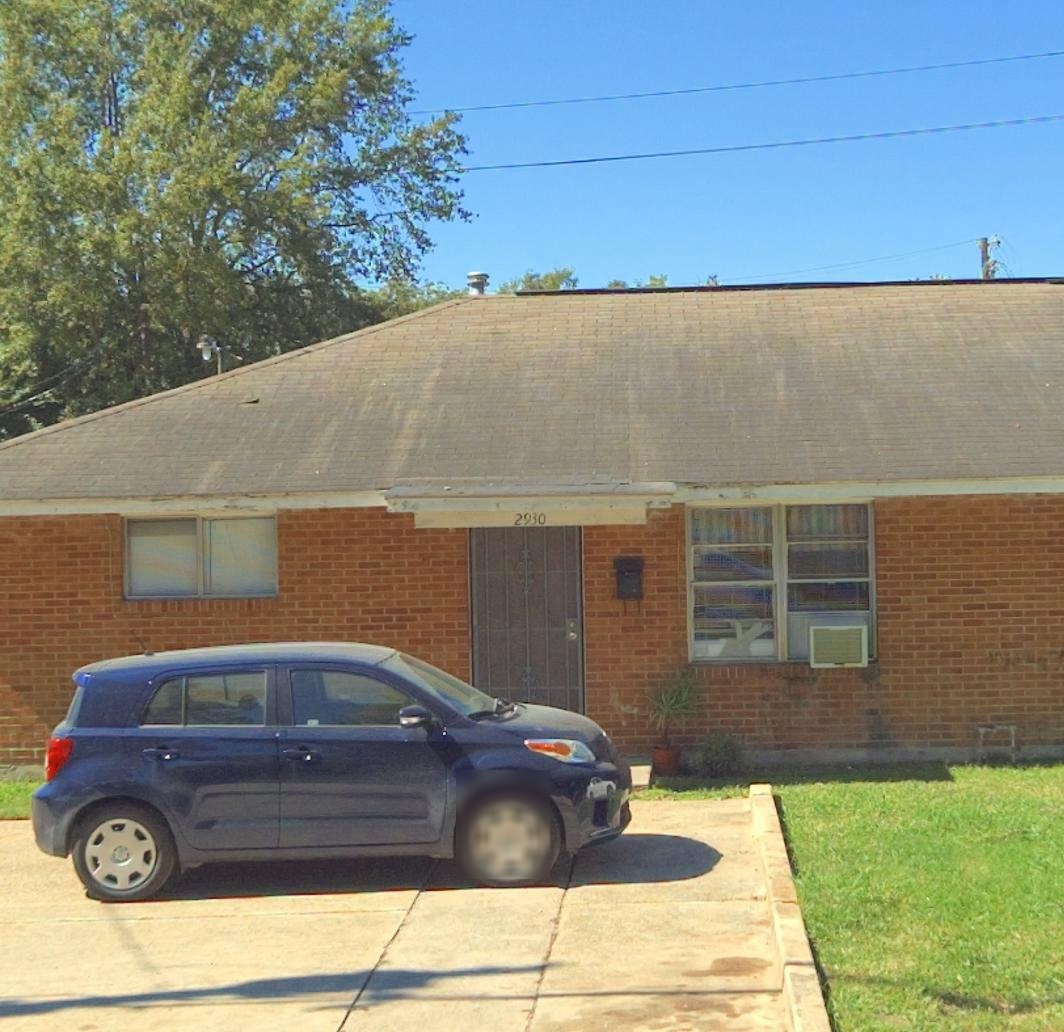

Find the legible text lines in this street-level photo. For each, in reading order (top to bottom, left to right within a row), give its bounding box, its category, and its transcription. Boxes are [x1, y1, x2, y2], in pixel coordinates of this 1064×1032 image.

[513, 511, 547, 526] StreetNumber: 2930